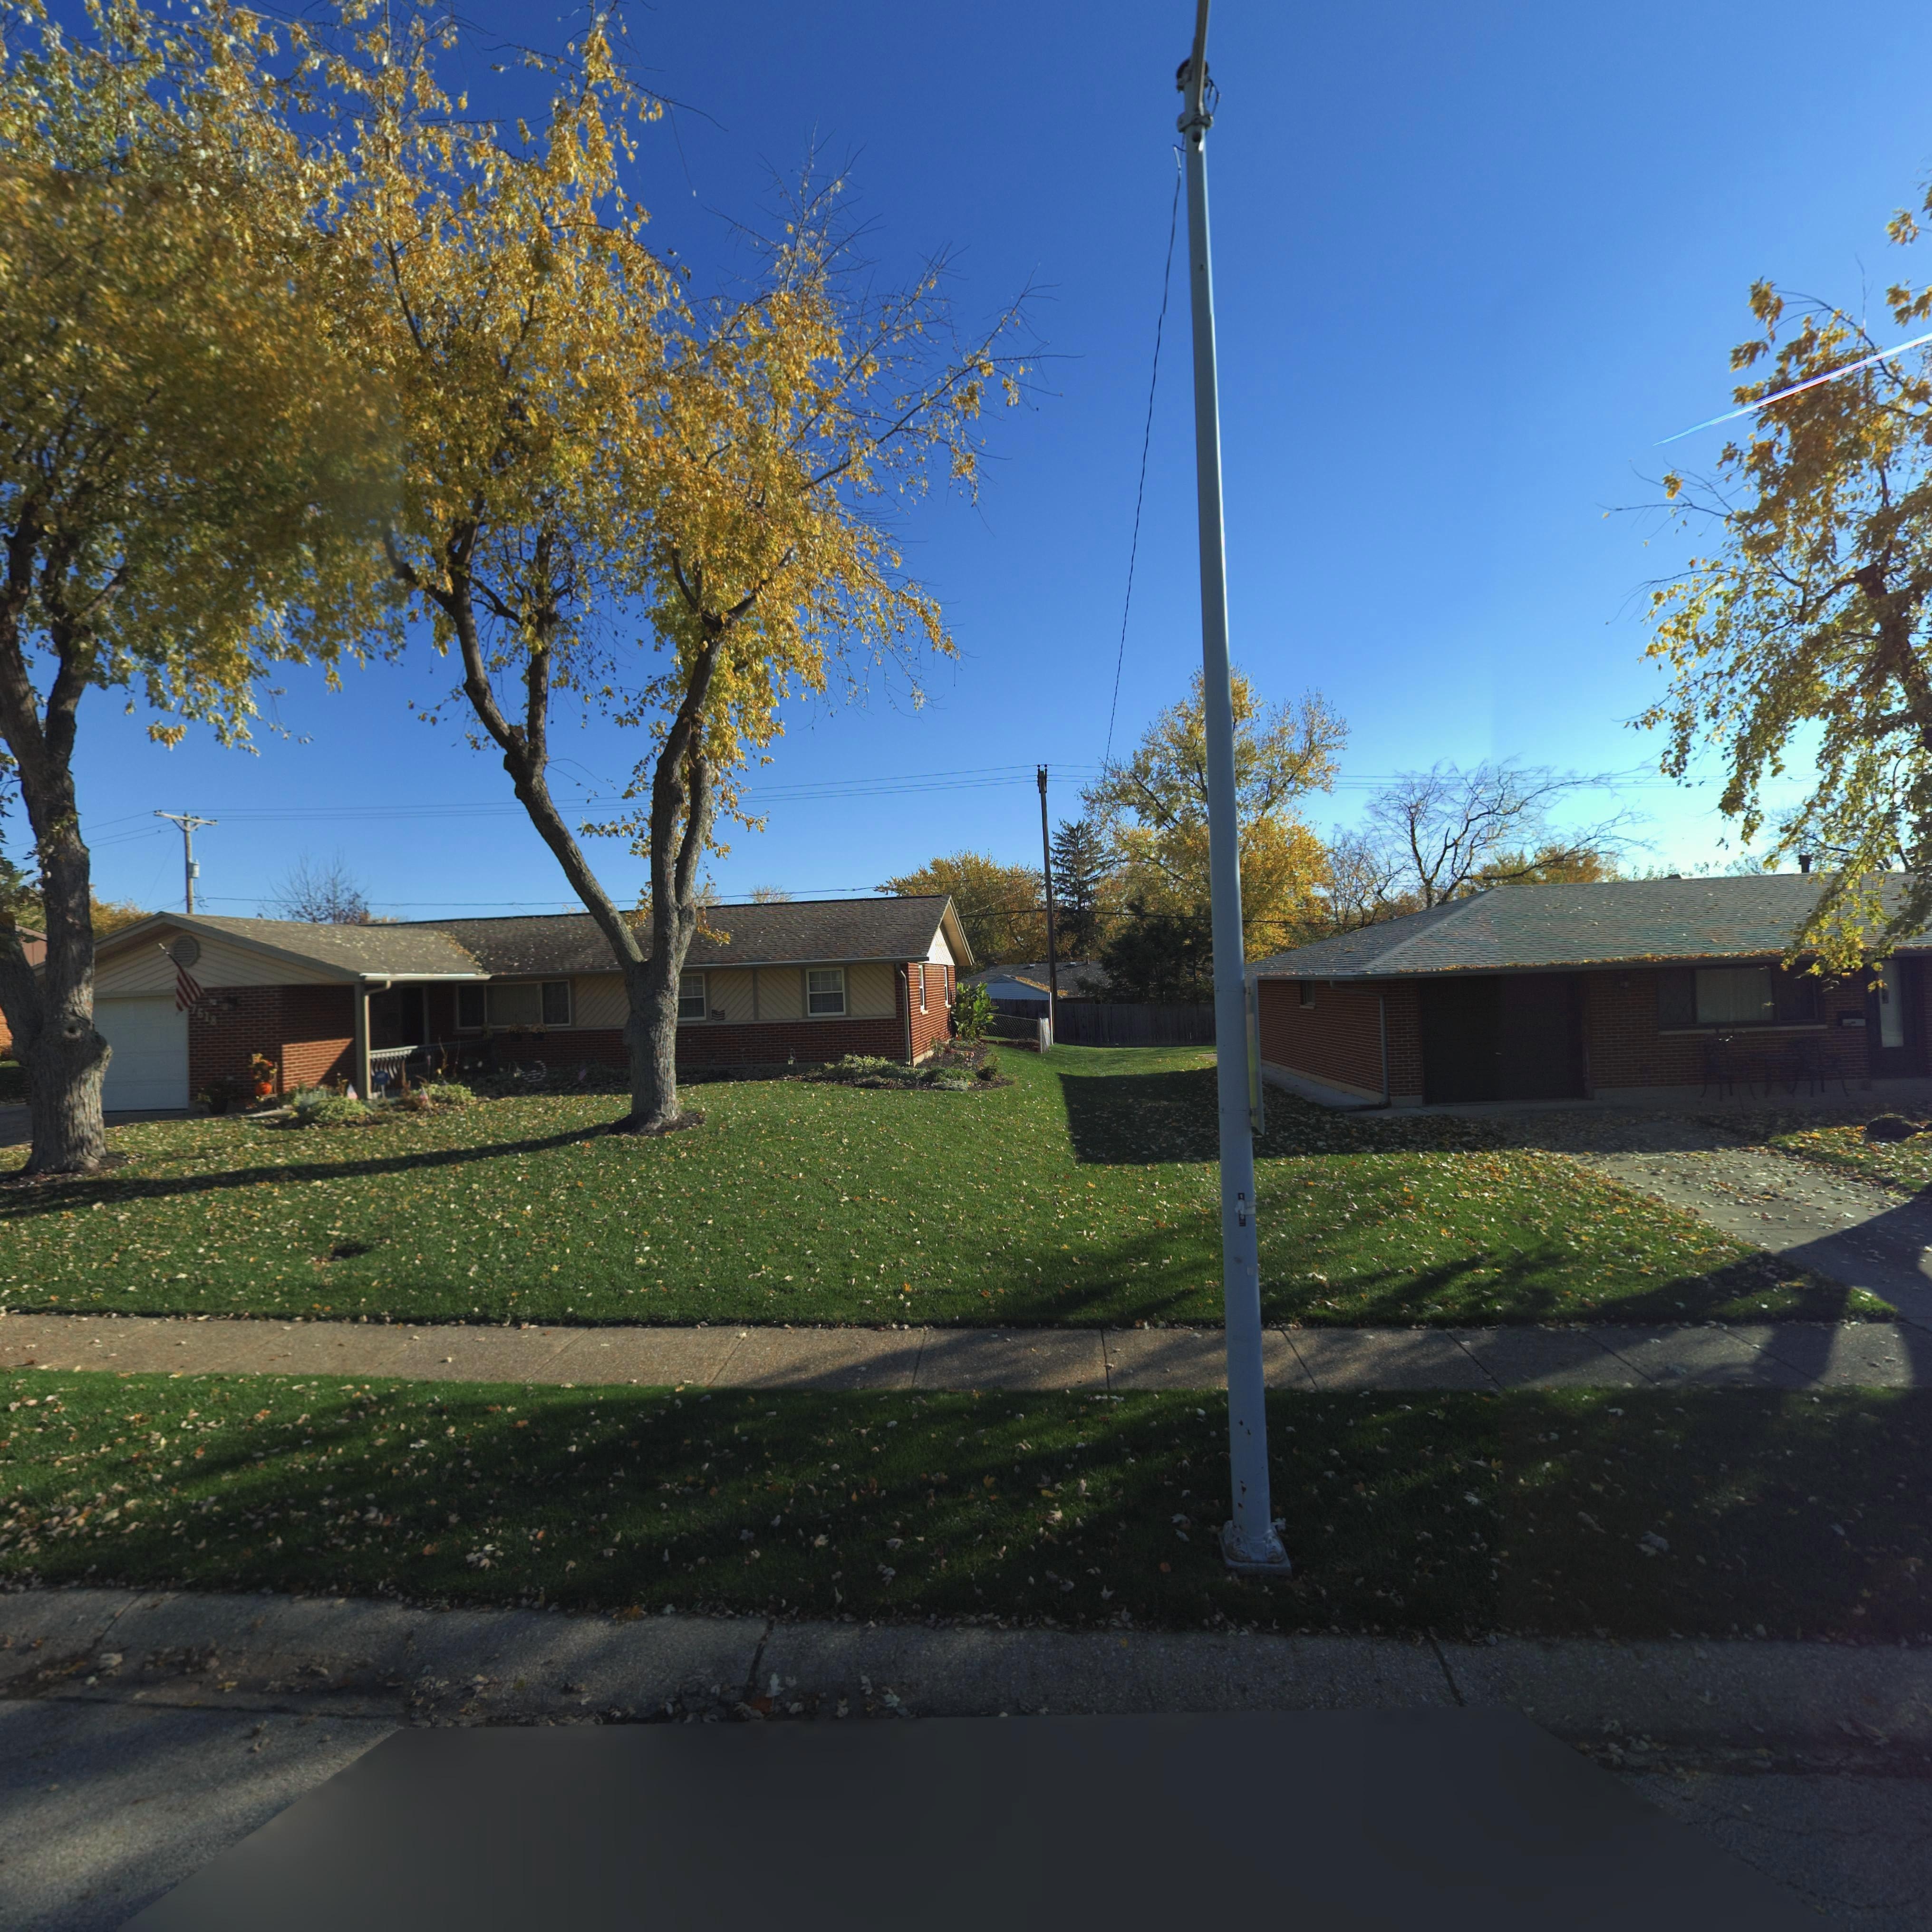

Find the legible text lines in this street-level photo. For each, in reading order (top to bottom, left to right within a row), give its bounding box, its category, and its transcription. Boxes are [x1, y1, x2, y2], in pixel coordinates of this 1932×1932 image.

[189, 1003, 218, 1027] StreetNumber: 7618